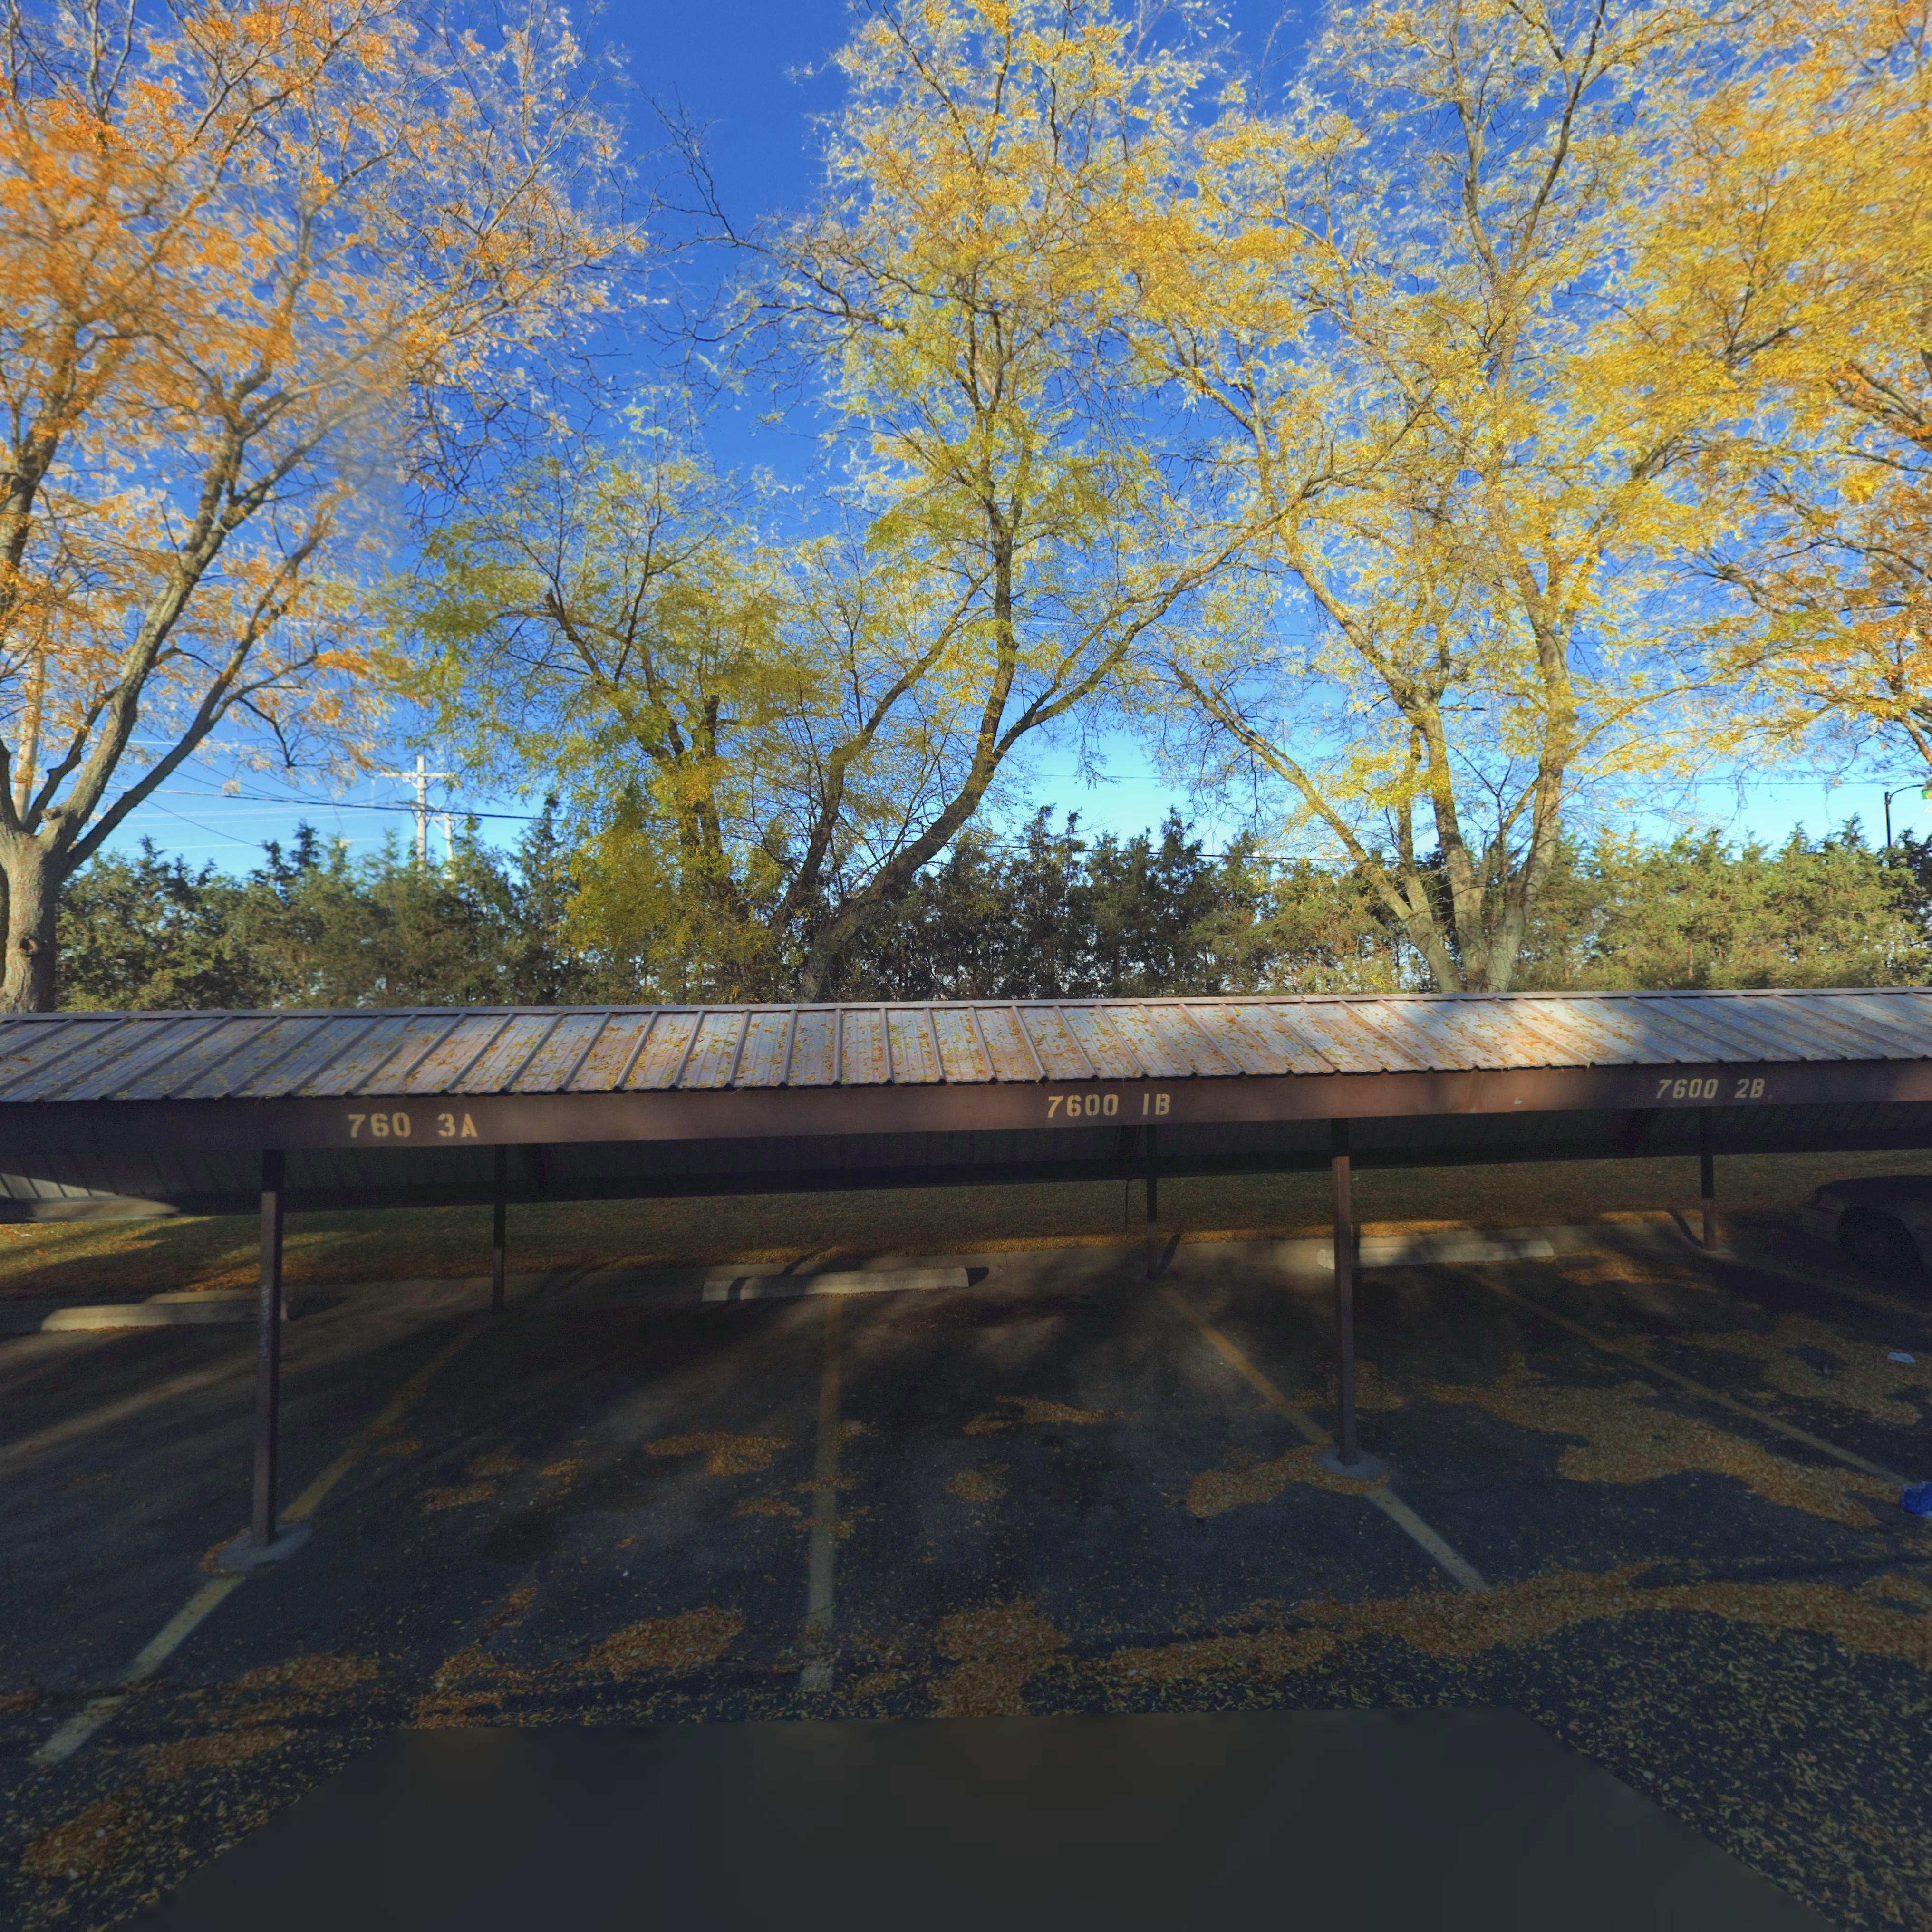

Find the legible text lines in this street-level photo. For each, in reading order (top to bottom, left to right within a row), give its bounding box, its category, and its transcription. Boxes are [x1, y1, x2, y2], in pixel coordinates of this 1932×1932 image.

[1653, 1077, 1720, 1101] StreetNumber: 7600
[1046, 1093, 1121, 1119] StreetNumber: 7600
[347, 1111, 411, 1139] StreetNumber: 760